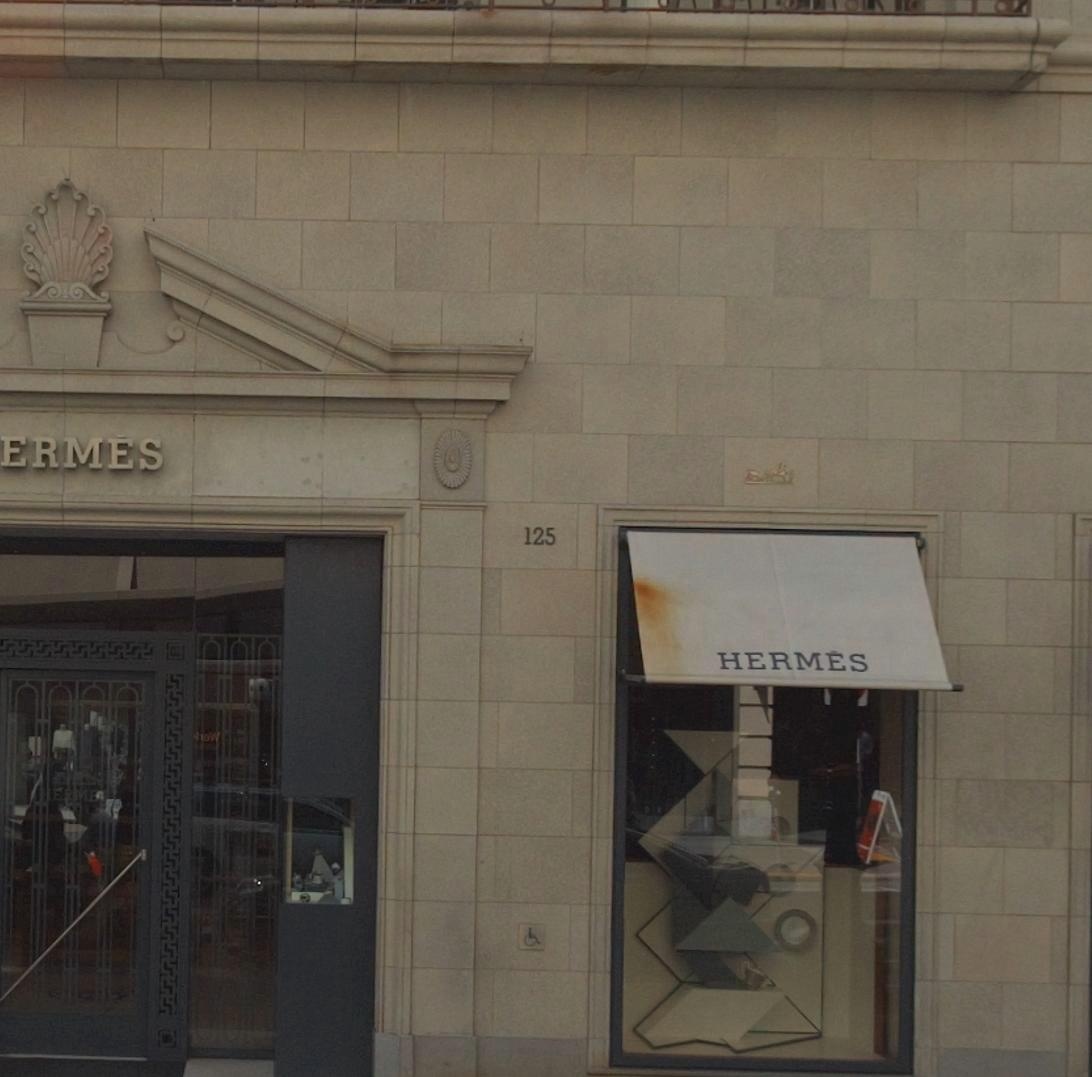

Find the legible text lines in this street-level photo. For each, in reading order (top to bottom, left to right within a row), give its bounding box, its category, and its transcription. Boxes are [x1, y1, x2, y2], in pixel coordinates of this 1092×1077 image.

[1, 435, 164, 473] BusinessName: ERMES
[522, 525, 557, 547] StreetNumber: 125
[713, 649, 873, 674] BusinessName: HERMES